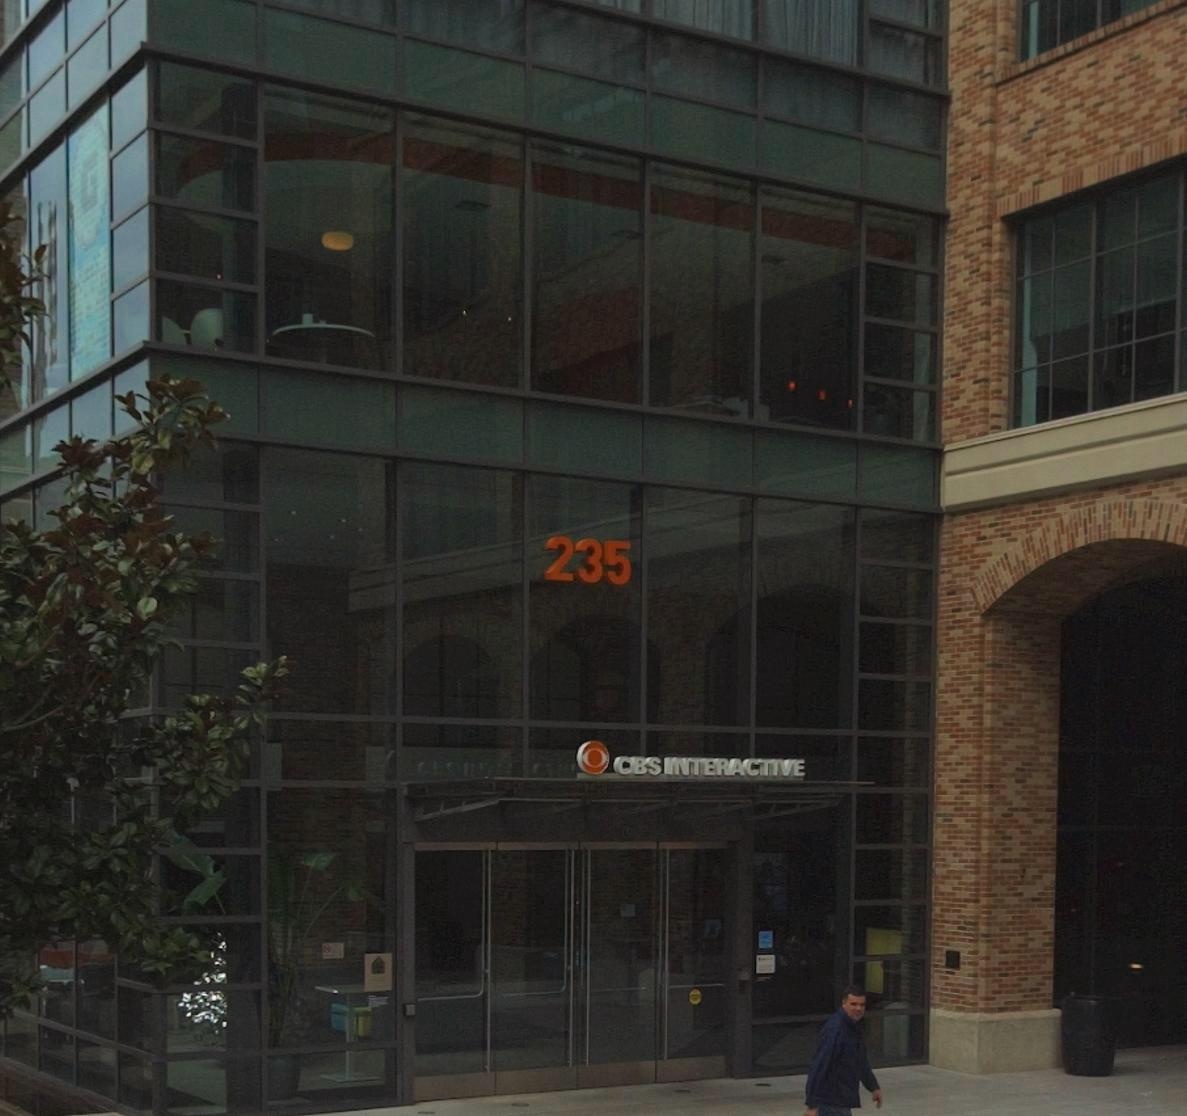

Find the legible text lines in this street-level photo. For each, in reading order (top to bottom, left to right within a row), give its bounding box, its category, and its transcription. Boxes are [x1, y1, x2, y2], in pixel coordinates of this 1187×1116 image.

[544, 533, 634, 589] StreetNumber: 235
[613, 754, 808, 778] BusinessName: CBS INTERACTIVE